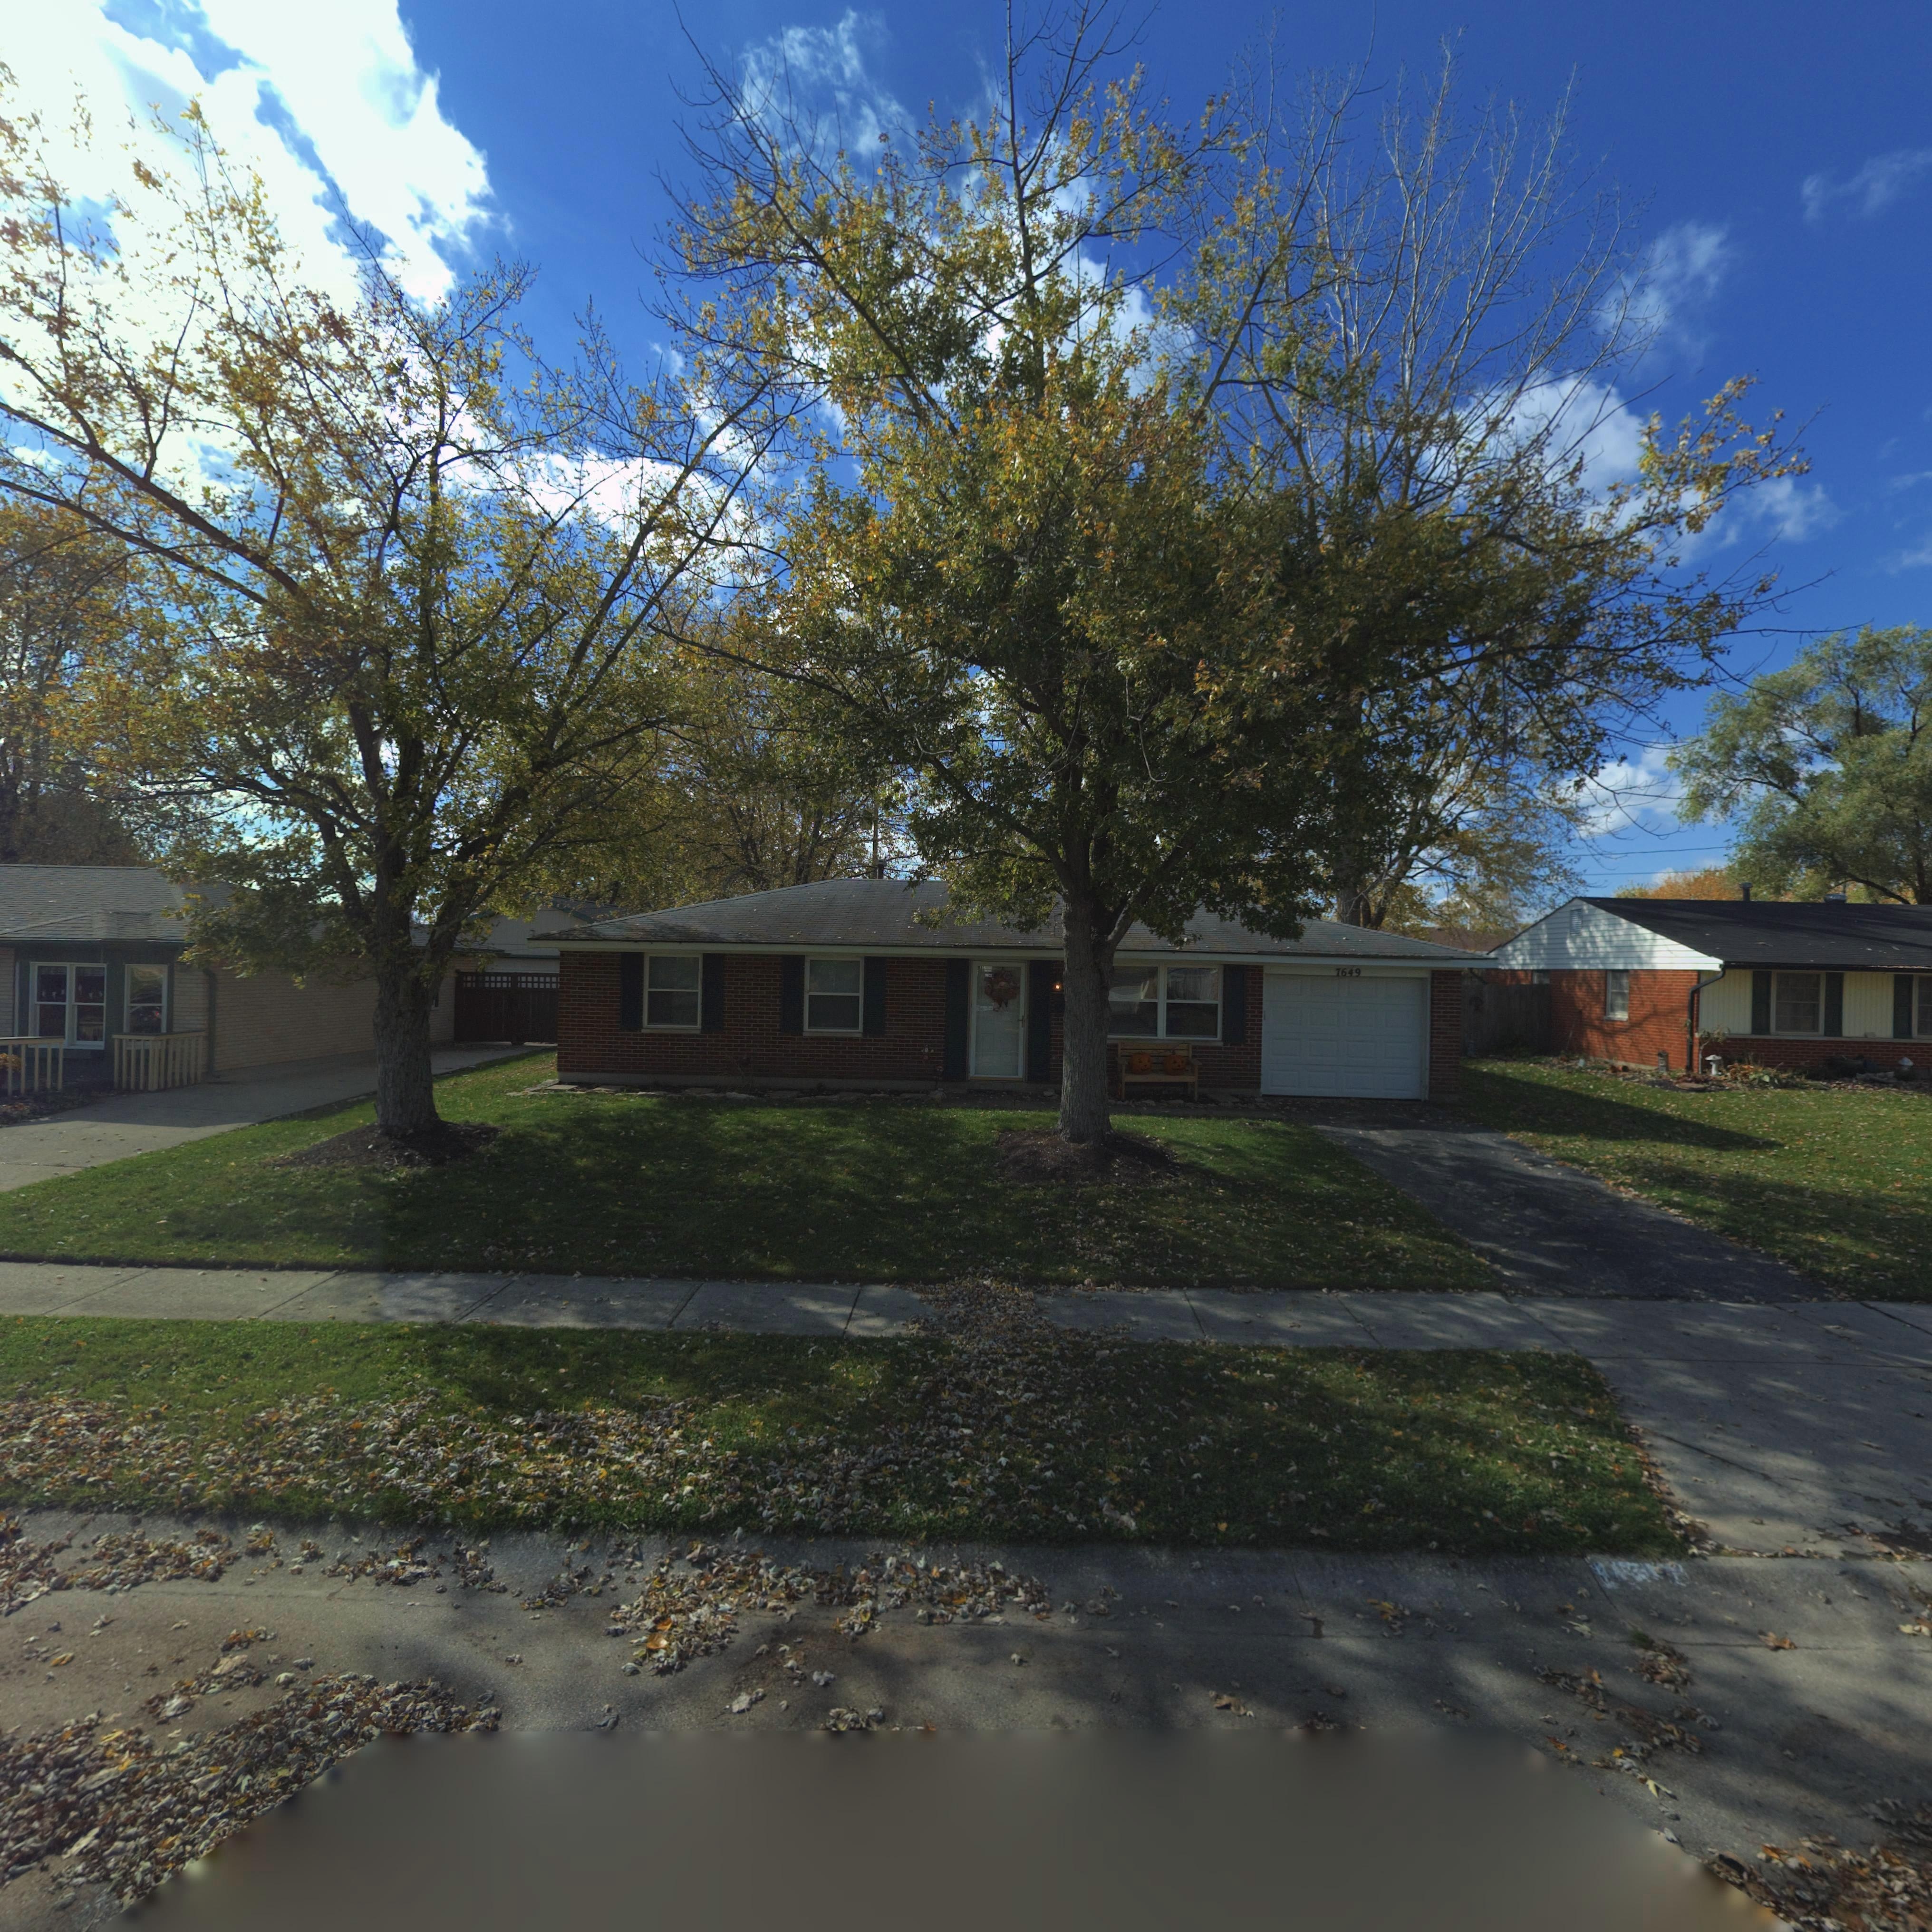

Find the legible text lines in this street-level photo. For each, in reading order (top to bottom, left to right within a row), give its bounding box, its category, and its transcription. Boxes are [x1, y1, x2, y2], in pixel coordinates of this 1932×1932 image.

[1334, 966, 1362, 978] StreetNumber: 7649